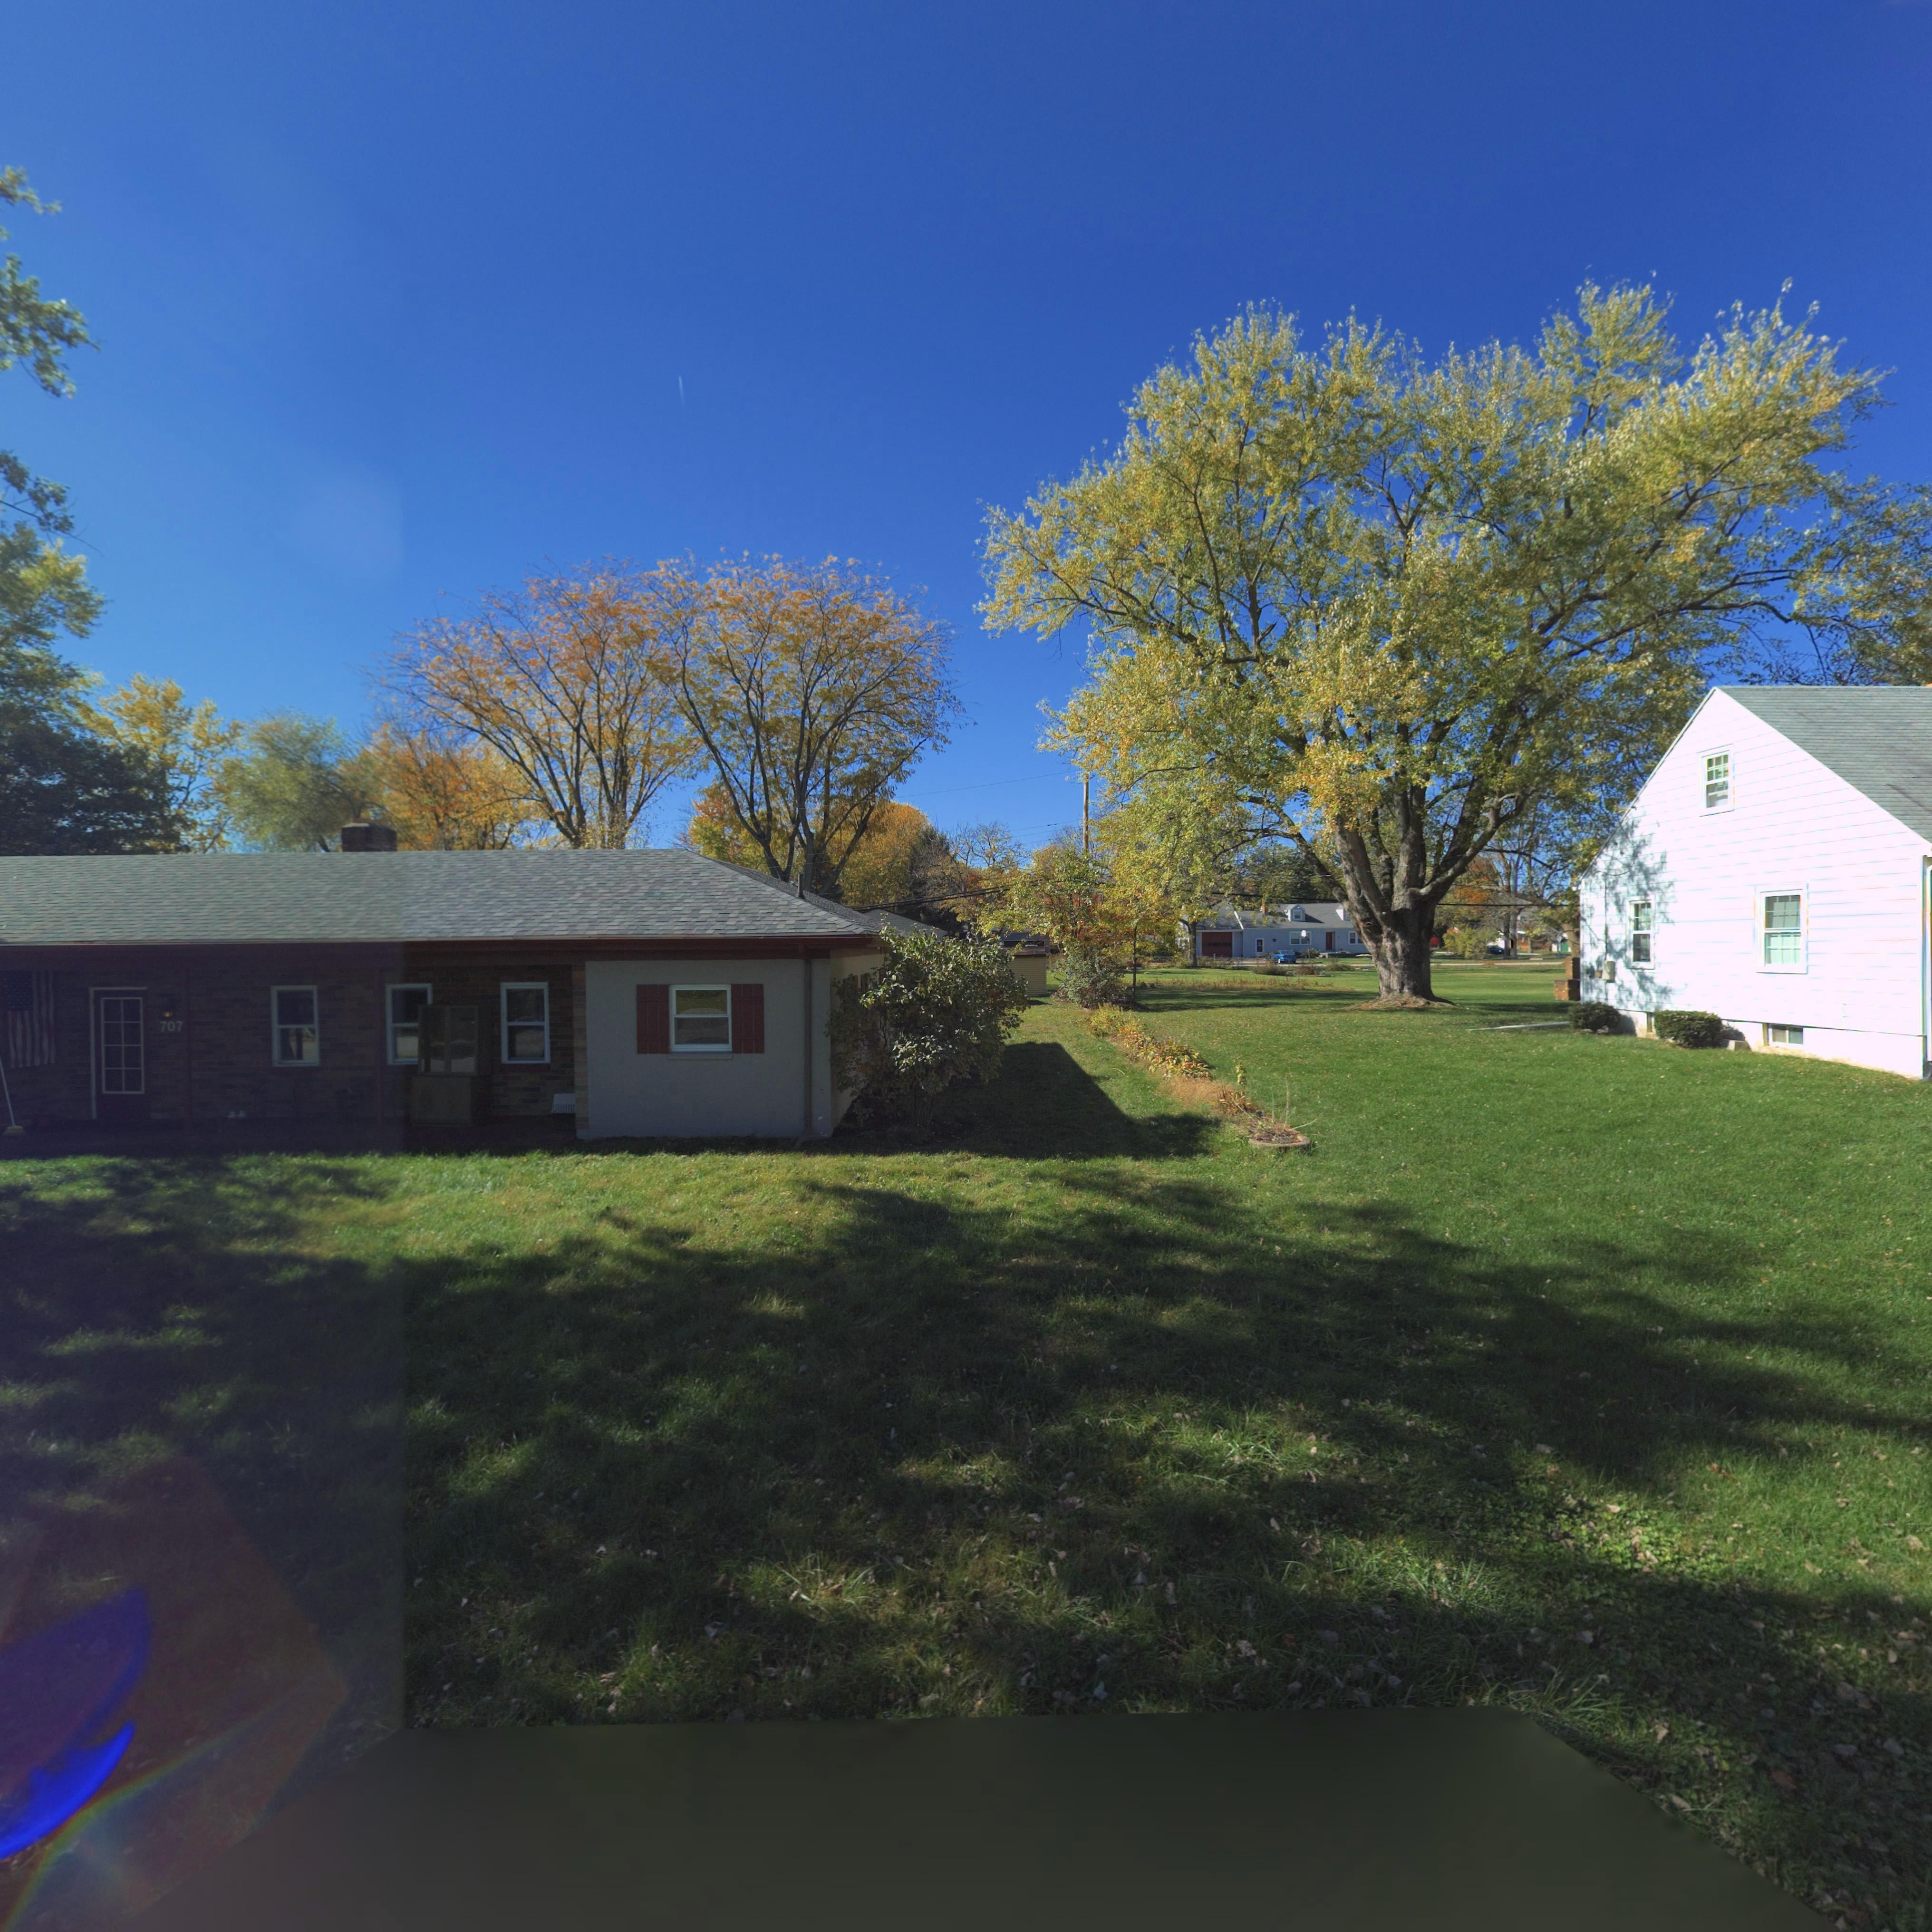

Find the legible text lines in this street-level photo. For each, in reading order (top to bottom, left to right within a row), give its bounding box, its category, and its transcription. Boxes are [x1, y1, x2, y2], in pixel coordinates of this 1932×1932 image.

[158, 1021, 184, 1032] StreetNumber: 707